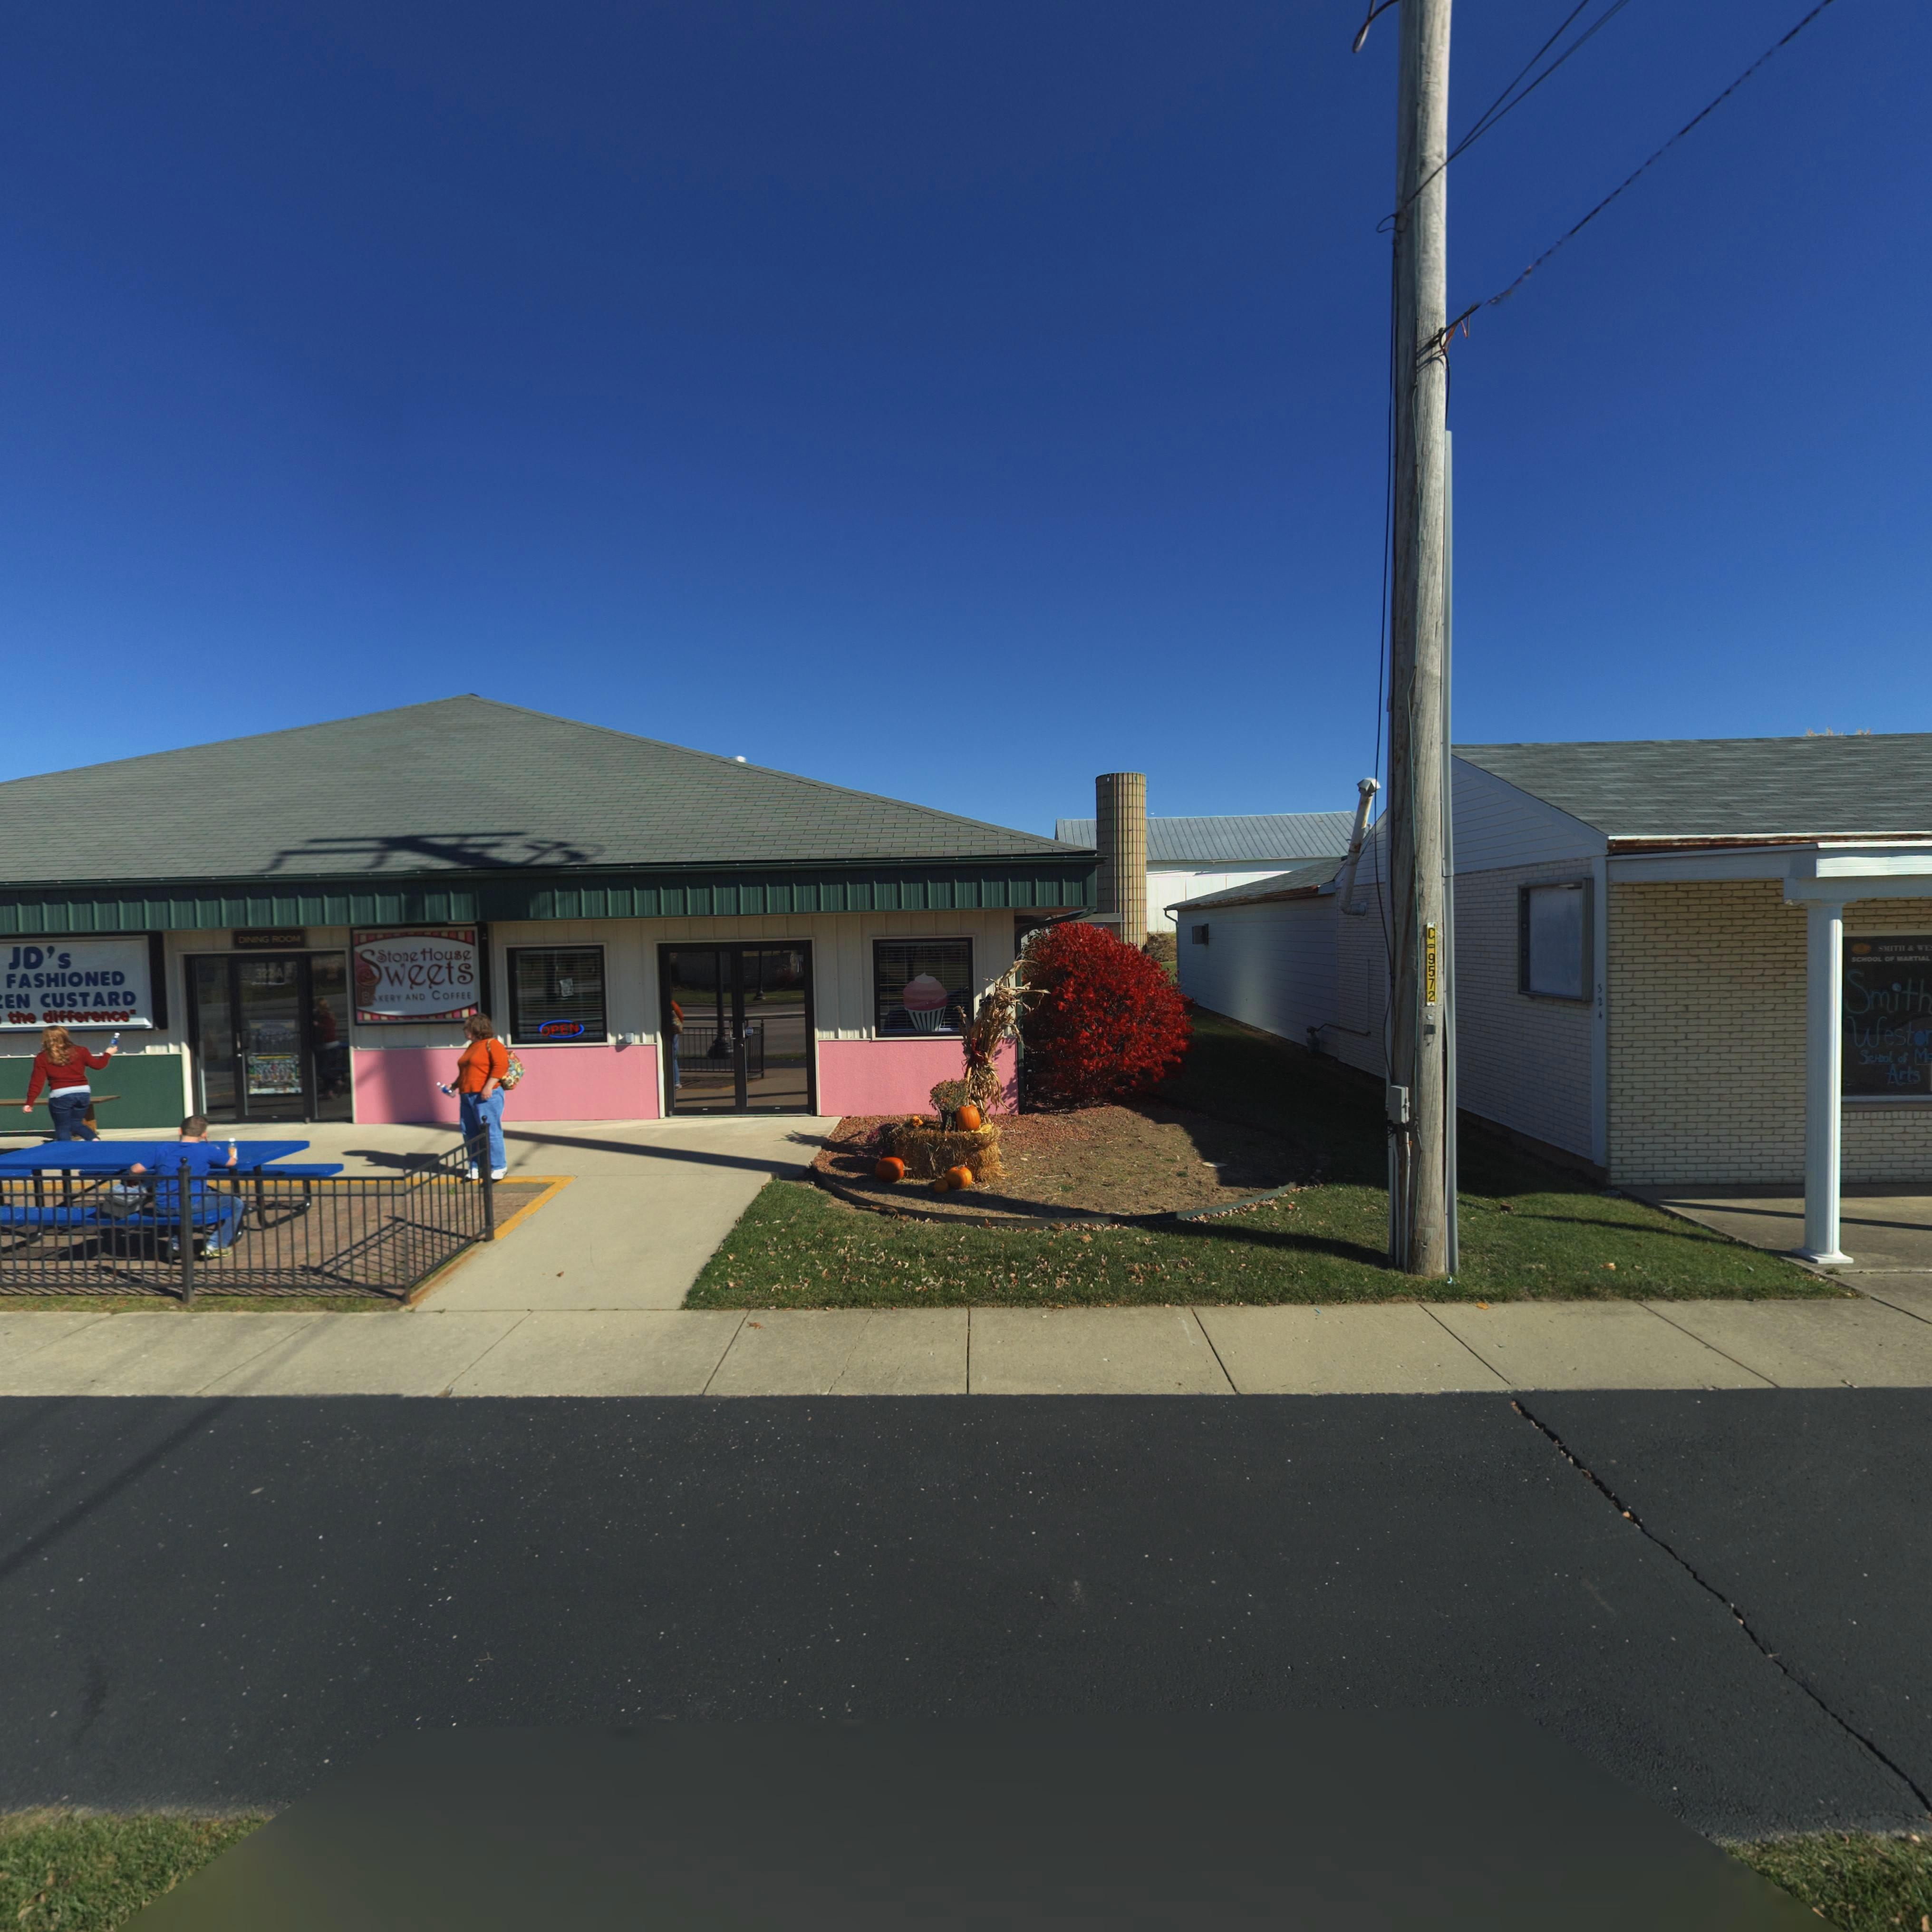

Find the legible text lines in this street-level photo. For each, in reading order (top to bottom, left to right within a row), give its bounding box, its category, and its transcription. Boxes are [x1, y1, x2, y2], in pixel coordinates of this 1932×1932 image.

[7, 945, 73, 971] BusinessName: JD's
[4, 970, 126, 990] None: FASHIONED
[237, 934, 302, 945] None: DINING ROOM
[254, 966, 286, 981] StreetNumber: 322 A
[354, 948, 475, 990] BusinessName: Sweets
[373, 948, 473, 964] BusinessName: Stone House
[1426, 926, 1436, 1003] None: C*9572
[1850, 955, 1931, 963] None: SCHOOL OF MARTIAL
[1877, 944, 1925, 953] None: SMITH & W
[3, 990, 138, 1010] None: EN CUSTARD
[359, 989, 473, 1004] BusinessName: BAKERY AND COFFEE
[1596, 982, 1604, 1022] StreetNumber: 324
[1843, 966, 1932, 1017] None: Smith
[7, 1008, 131, 1025] None: the difference
[539, 1022, 580, 1037] None: OPEN
[1845, 1015, 1915, 1048] None: West
[1855, 1047, 1928, 1066] None: ScHool of M
[1884, 1063, 1922, 1087] None: Arts